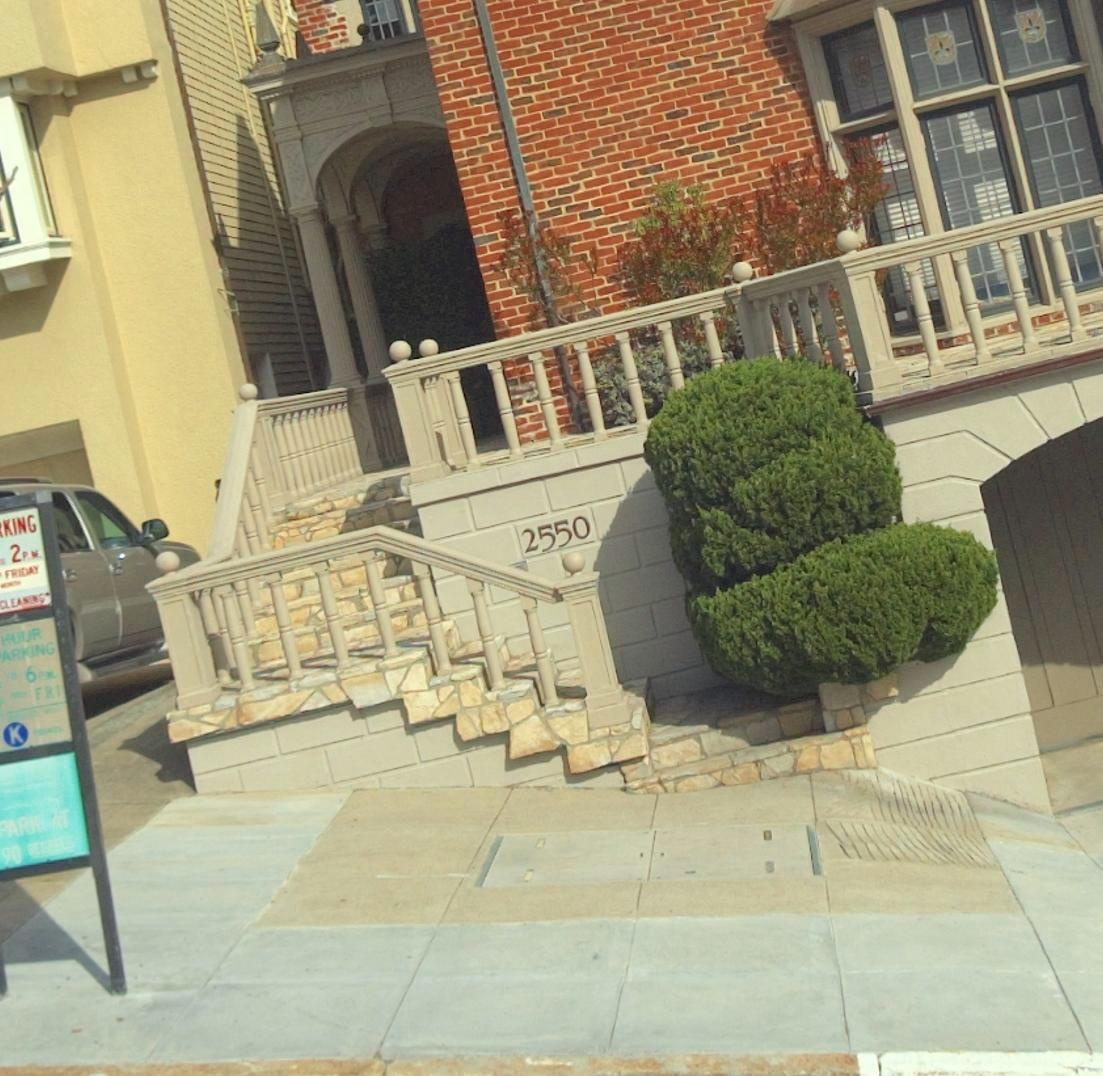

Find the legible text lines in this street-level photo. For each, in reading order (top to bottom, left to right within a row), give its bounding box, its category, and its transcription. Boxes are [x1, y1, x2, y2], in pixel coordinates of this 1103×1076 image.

[0, 511, 40, 542] None: KING
[518, 512, 594, 558] StreetNumber: 2550
[7, 541, 24, 566] None: 2
[2, 561, 42, 584] None: FRIDAY
[2, 589, 48, 612] None: LEANING
[0, 624, 45, 649] None: HOUR
[0, 638, 59, 665] None: ARKING
[22, 662, 39, 686] None: 6
[32, 681, 64, 704] None: FRI
[6, 721, 27, 748] None: K
[5, 806, 73, 840] None: ARK AT
[0, 841, 25, 869] None: 90